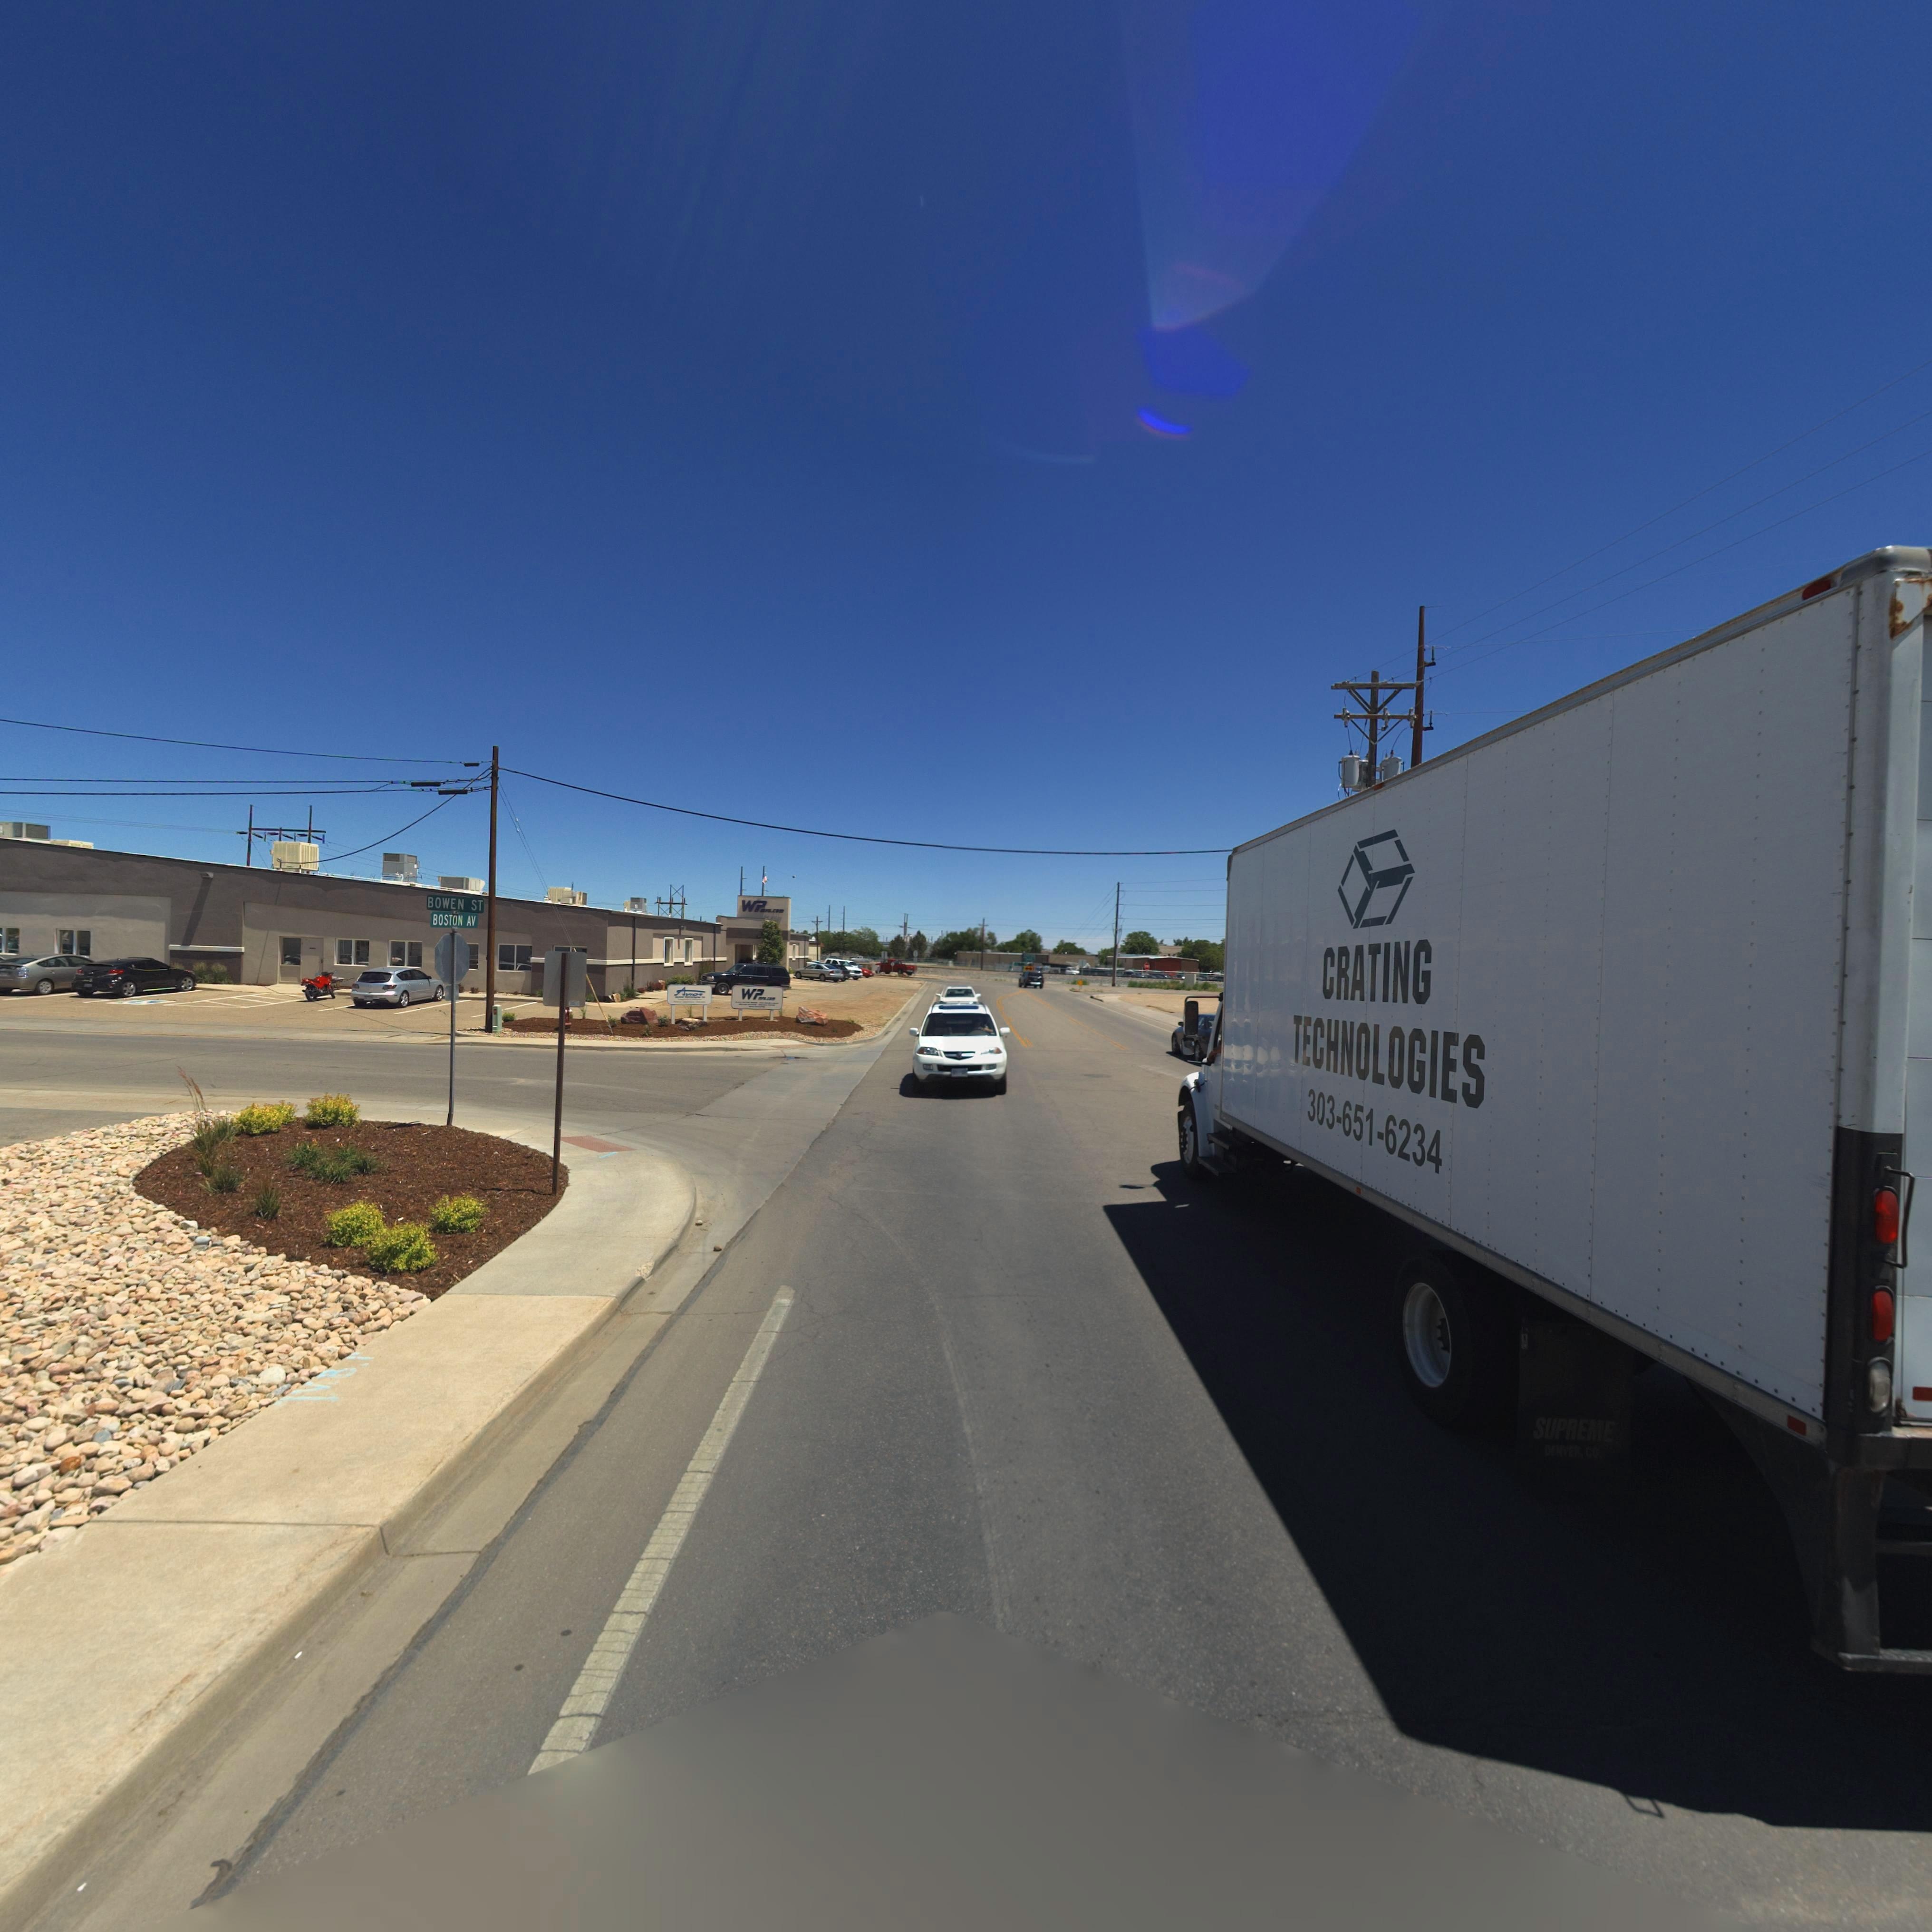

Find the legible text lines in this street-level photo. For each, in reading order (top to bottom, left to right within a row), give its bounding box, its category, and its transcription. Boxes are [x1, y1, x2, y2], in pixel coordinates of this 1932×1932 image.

[427, 896, 483, 911] StreetName: BOWEN ST
[741, 900, 767, 912] BusinessName: WP
[432, 914, 476, 926] StreetName: BOSTON AV
[673, 986, 703, 996] BusinessName: Avion
[742, 988, 764, 1000] BusinessName: WP